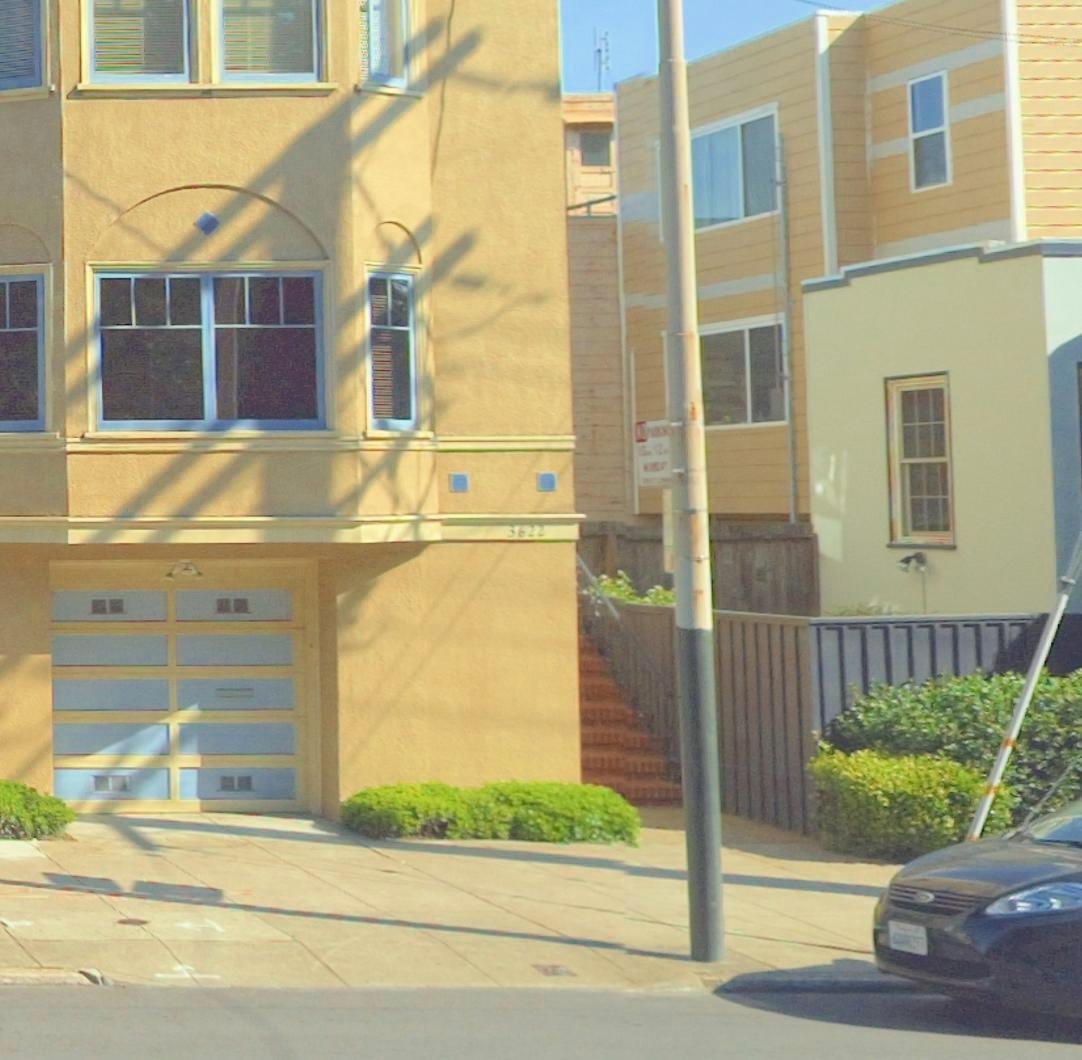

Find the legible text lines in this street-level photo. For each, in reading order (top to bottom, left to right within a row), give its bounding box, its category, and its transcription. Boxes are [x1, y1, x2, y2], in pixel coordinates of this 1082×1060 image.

[505, 520, 547, 540] StreetNumber: 3622